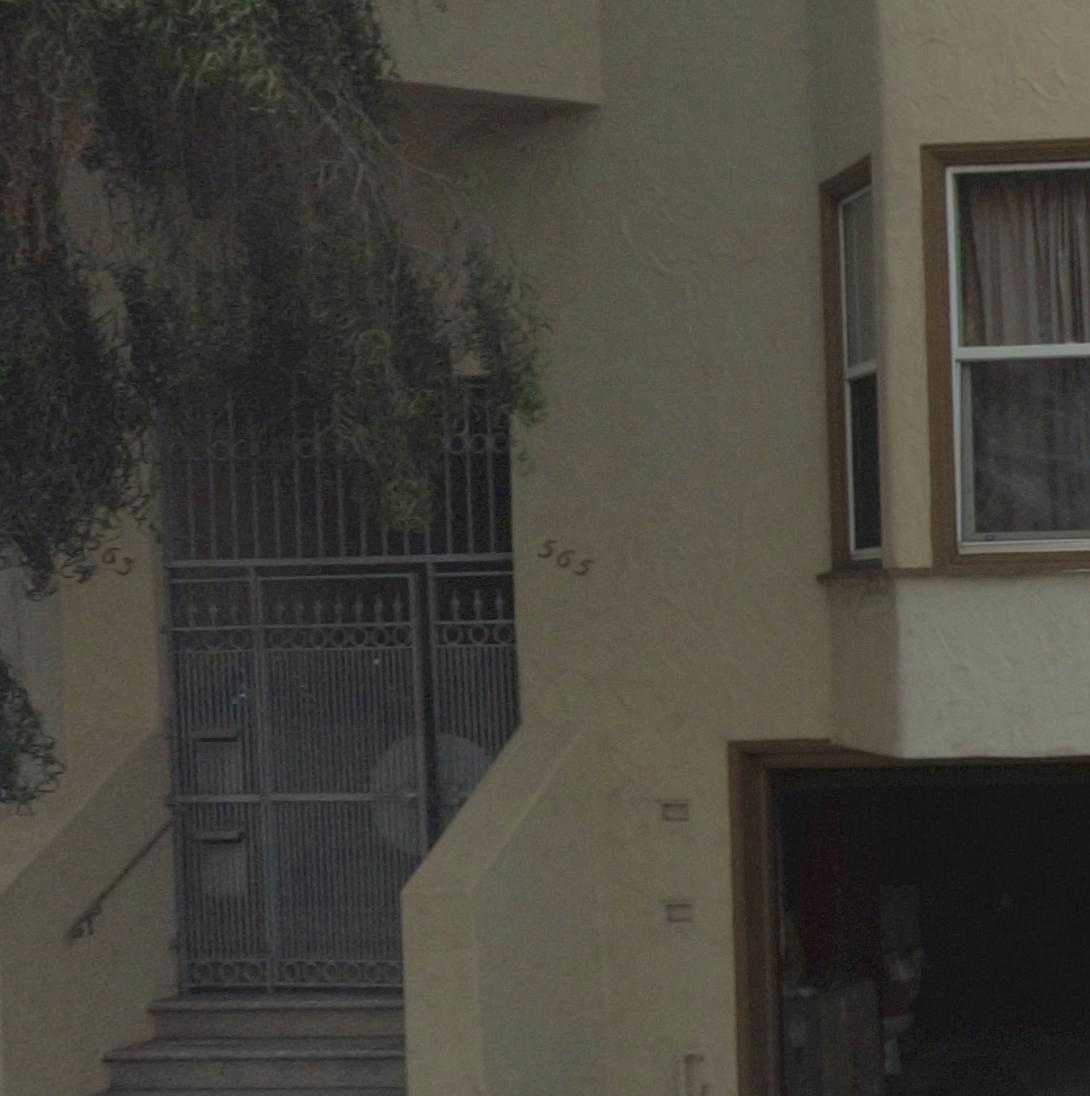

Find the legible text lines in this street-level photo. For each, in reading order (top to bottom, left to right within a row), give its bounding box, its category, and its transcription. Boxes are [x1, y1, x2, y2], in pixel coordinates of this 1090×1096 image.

[534, 535, 600, 580] StreetNumber: 565